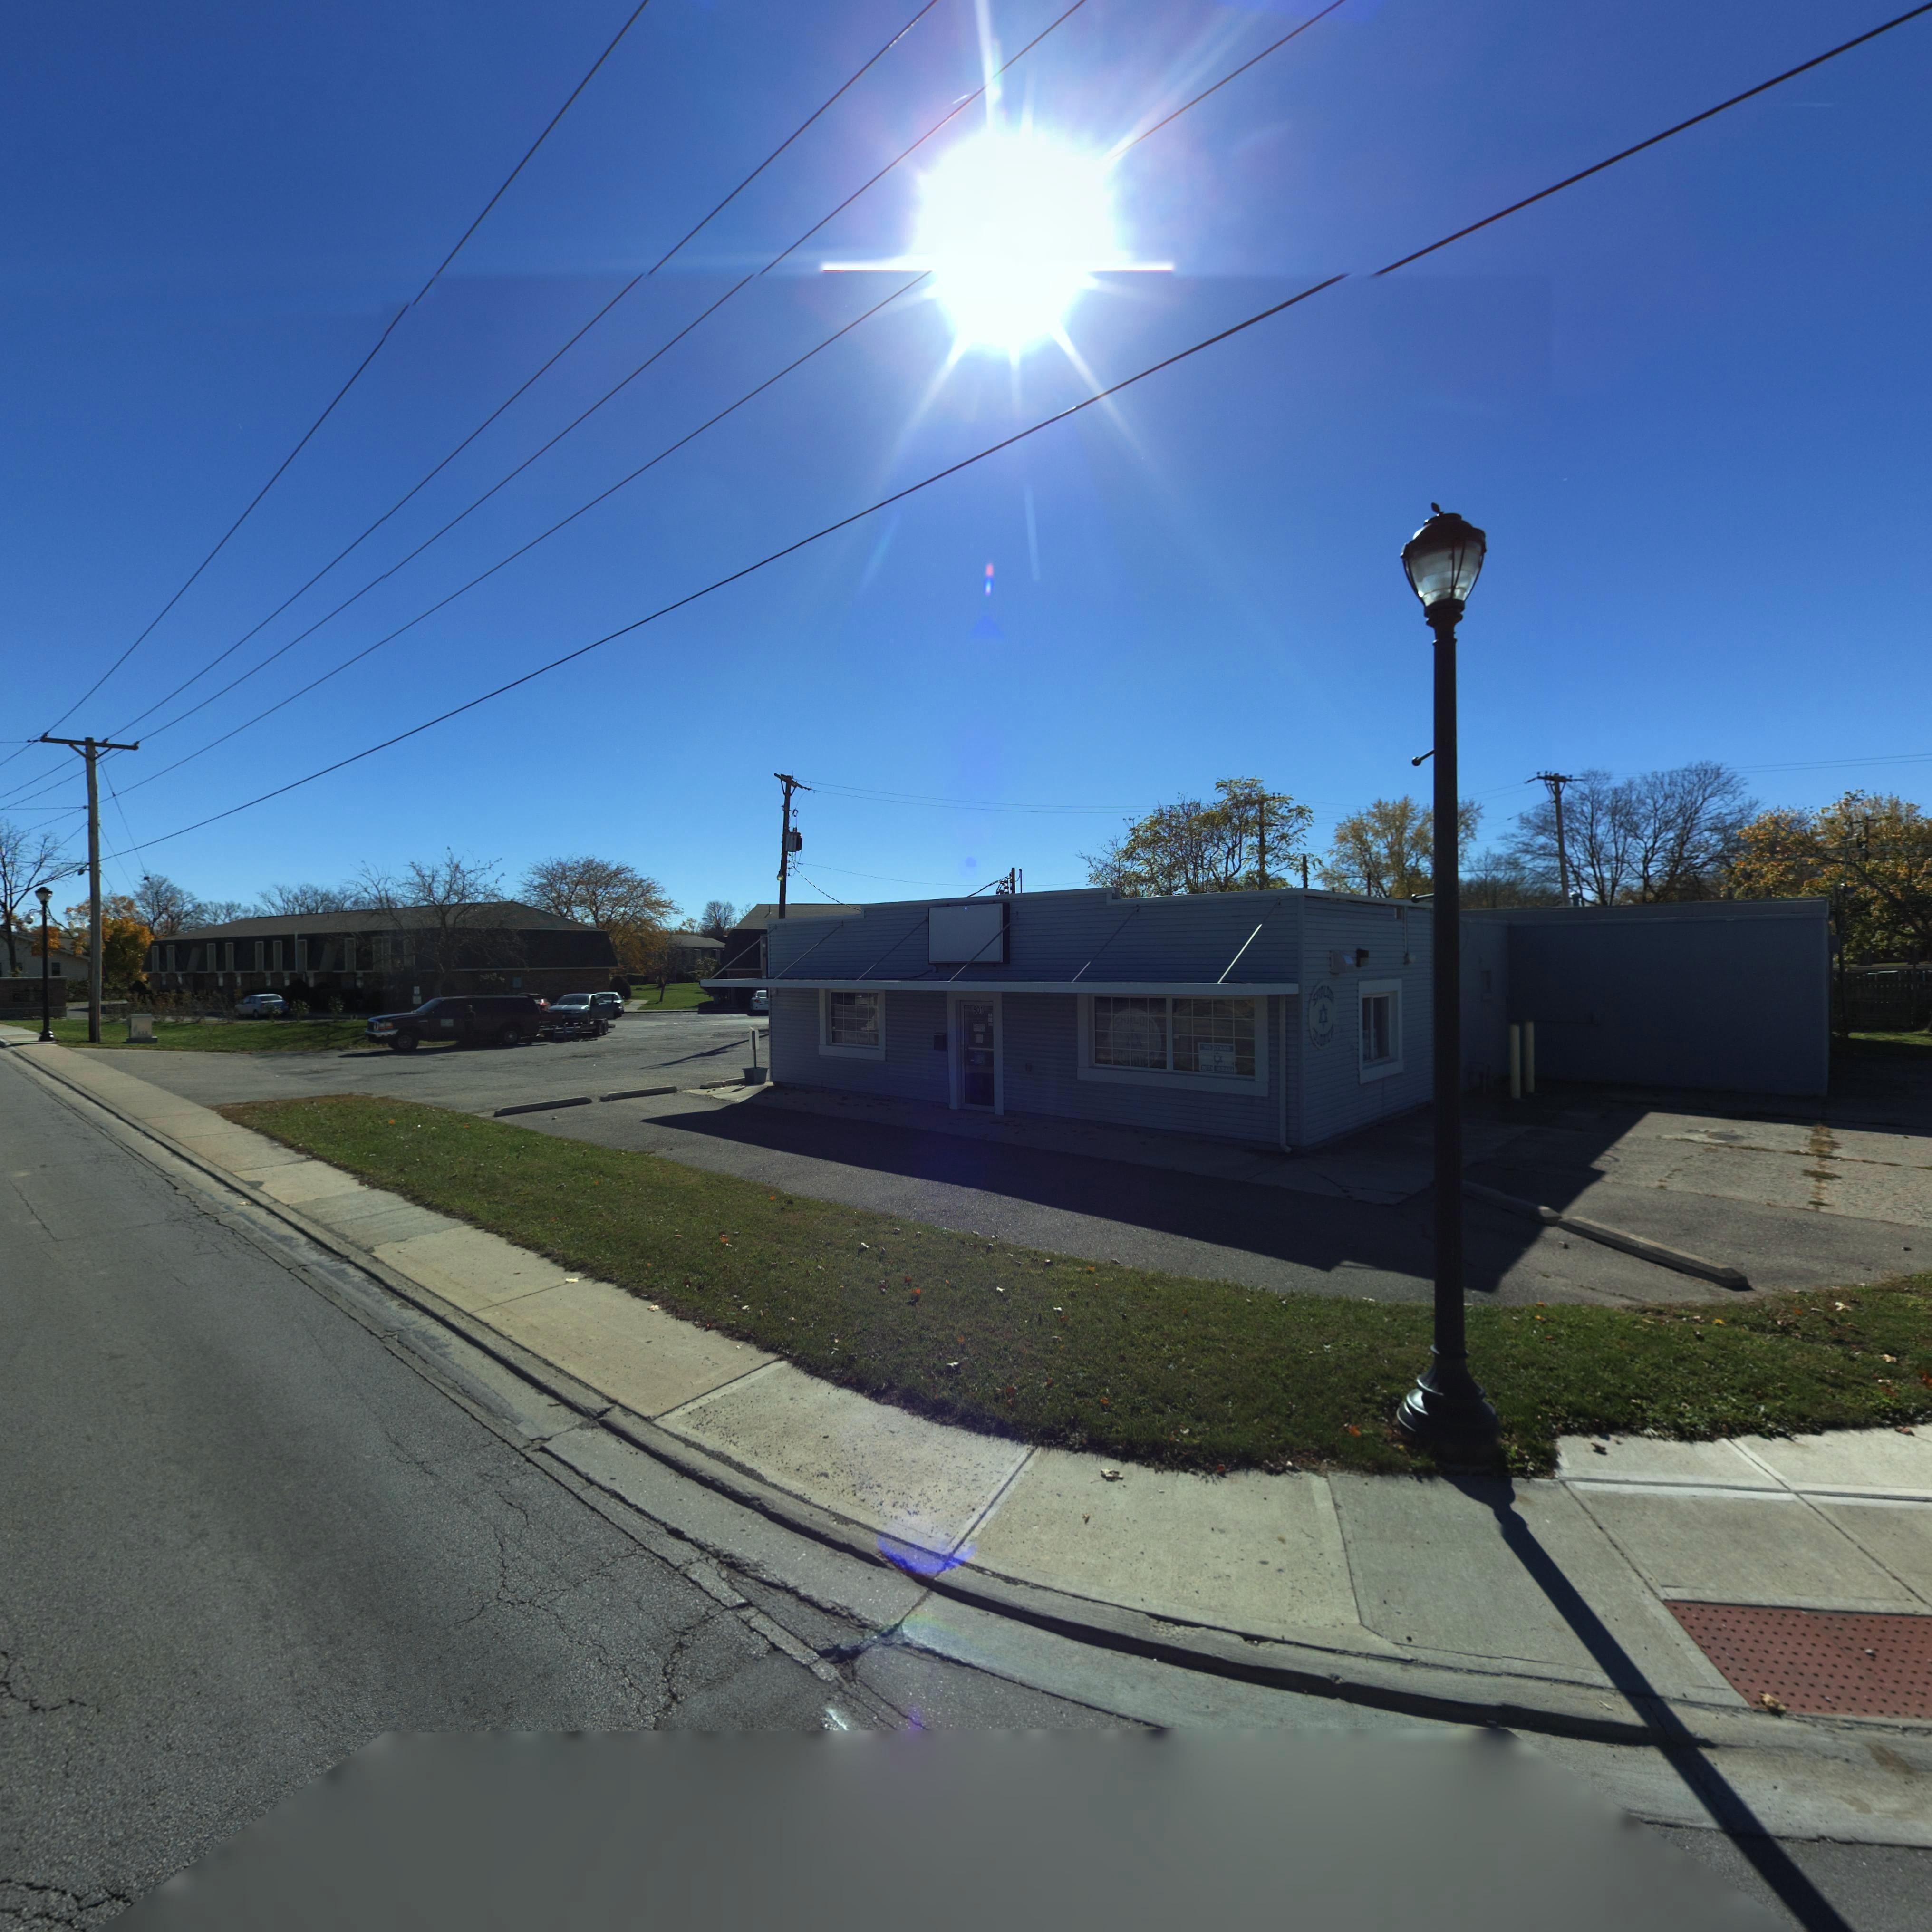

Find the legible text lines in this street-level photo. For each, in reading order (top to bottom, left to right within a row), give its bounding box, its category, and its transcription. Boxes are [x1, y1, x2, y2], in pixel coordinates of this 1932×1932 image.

[1312, 984, 1328, 1009] BusinessName: SHAL
[973, 1005, 983, 1014] StreetNumber: 501
[1113, 1011, 1156, 1035] BusinessName: SH*LO*
[1311, 1025, 1324, 1048] BusinessName: JUD
[1114, 1048, 1127, 1065] BusinessName: JU
[1203, 1044, 1231, 1052] None: WE STAND
[1200, 1065, 1235, 1072] None: WIT* ISRAEL